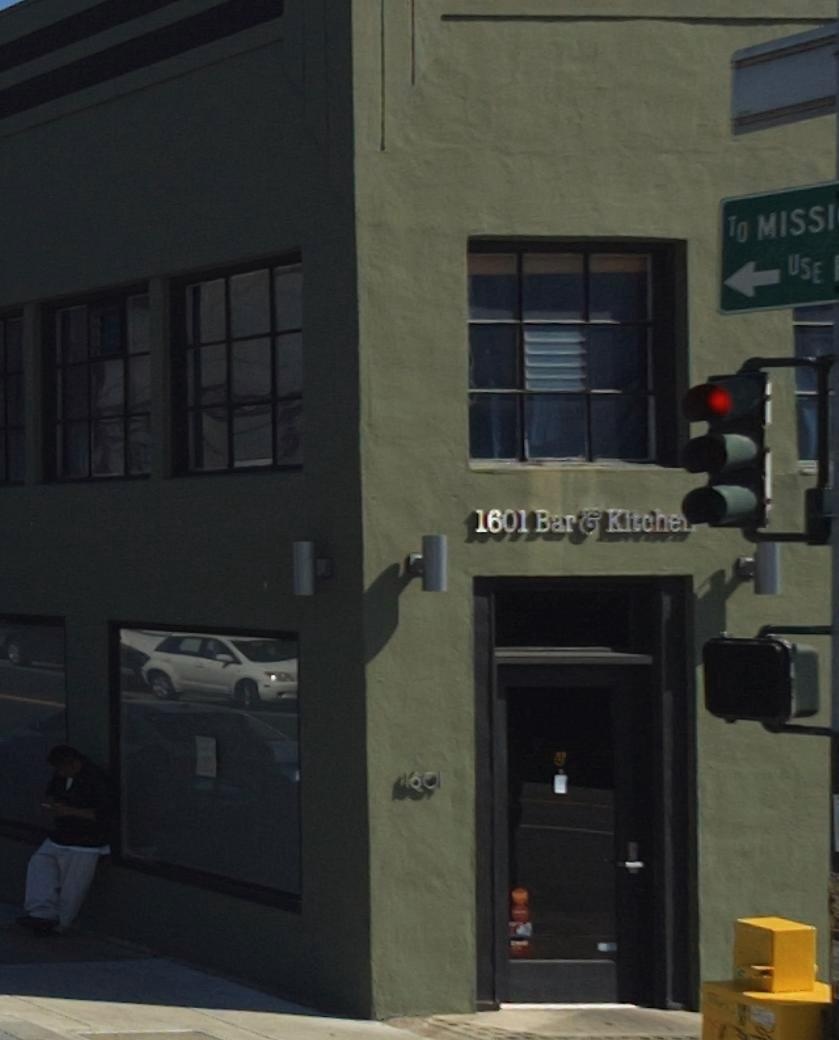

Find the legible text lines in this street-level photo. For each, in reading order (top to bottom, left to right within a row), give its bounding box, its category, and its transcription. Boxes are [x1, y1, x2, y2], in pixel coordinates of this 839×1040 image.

[724, 200, 836, 245] None: TO MISSI
[718, 249, 824, 301] None: <-USE
[472, 507, 530, 535] StreetNumber: 1601
[533, 507, 696, 537] BusinessName: Bar & Kitche*
[402, 770, 444, 791] StreetNumber: 1601